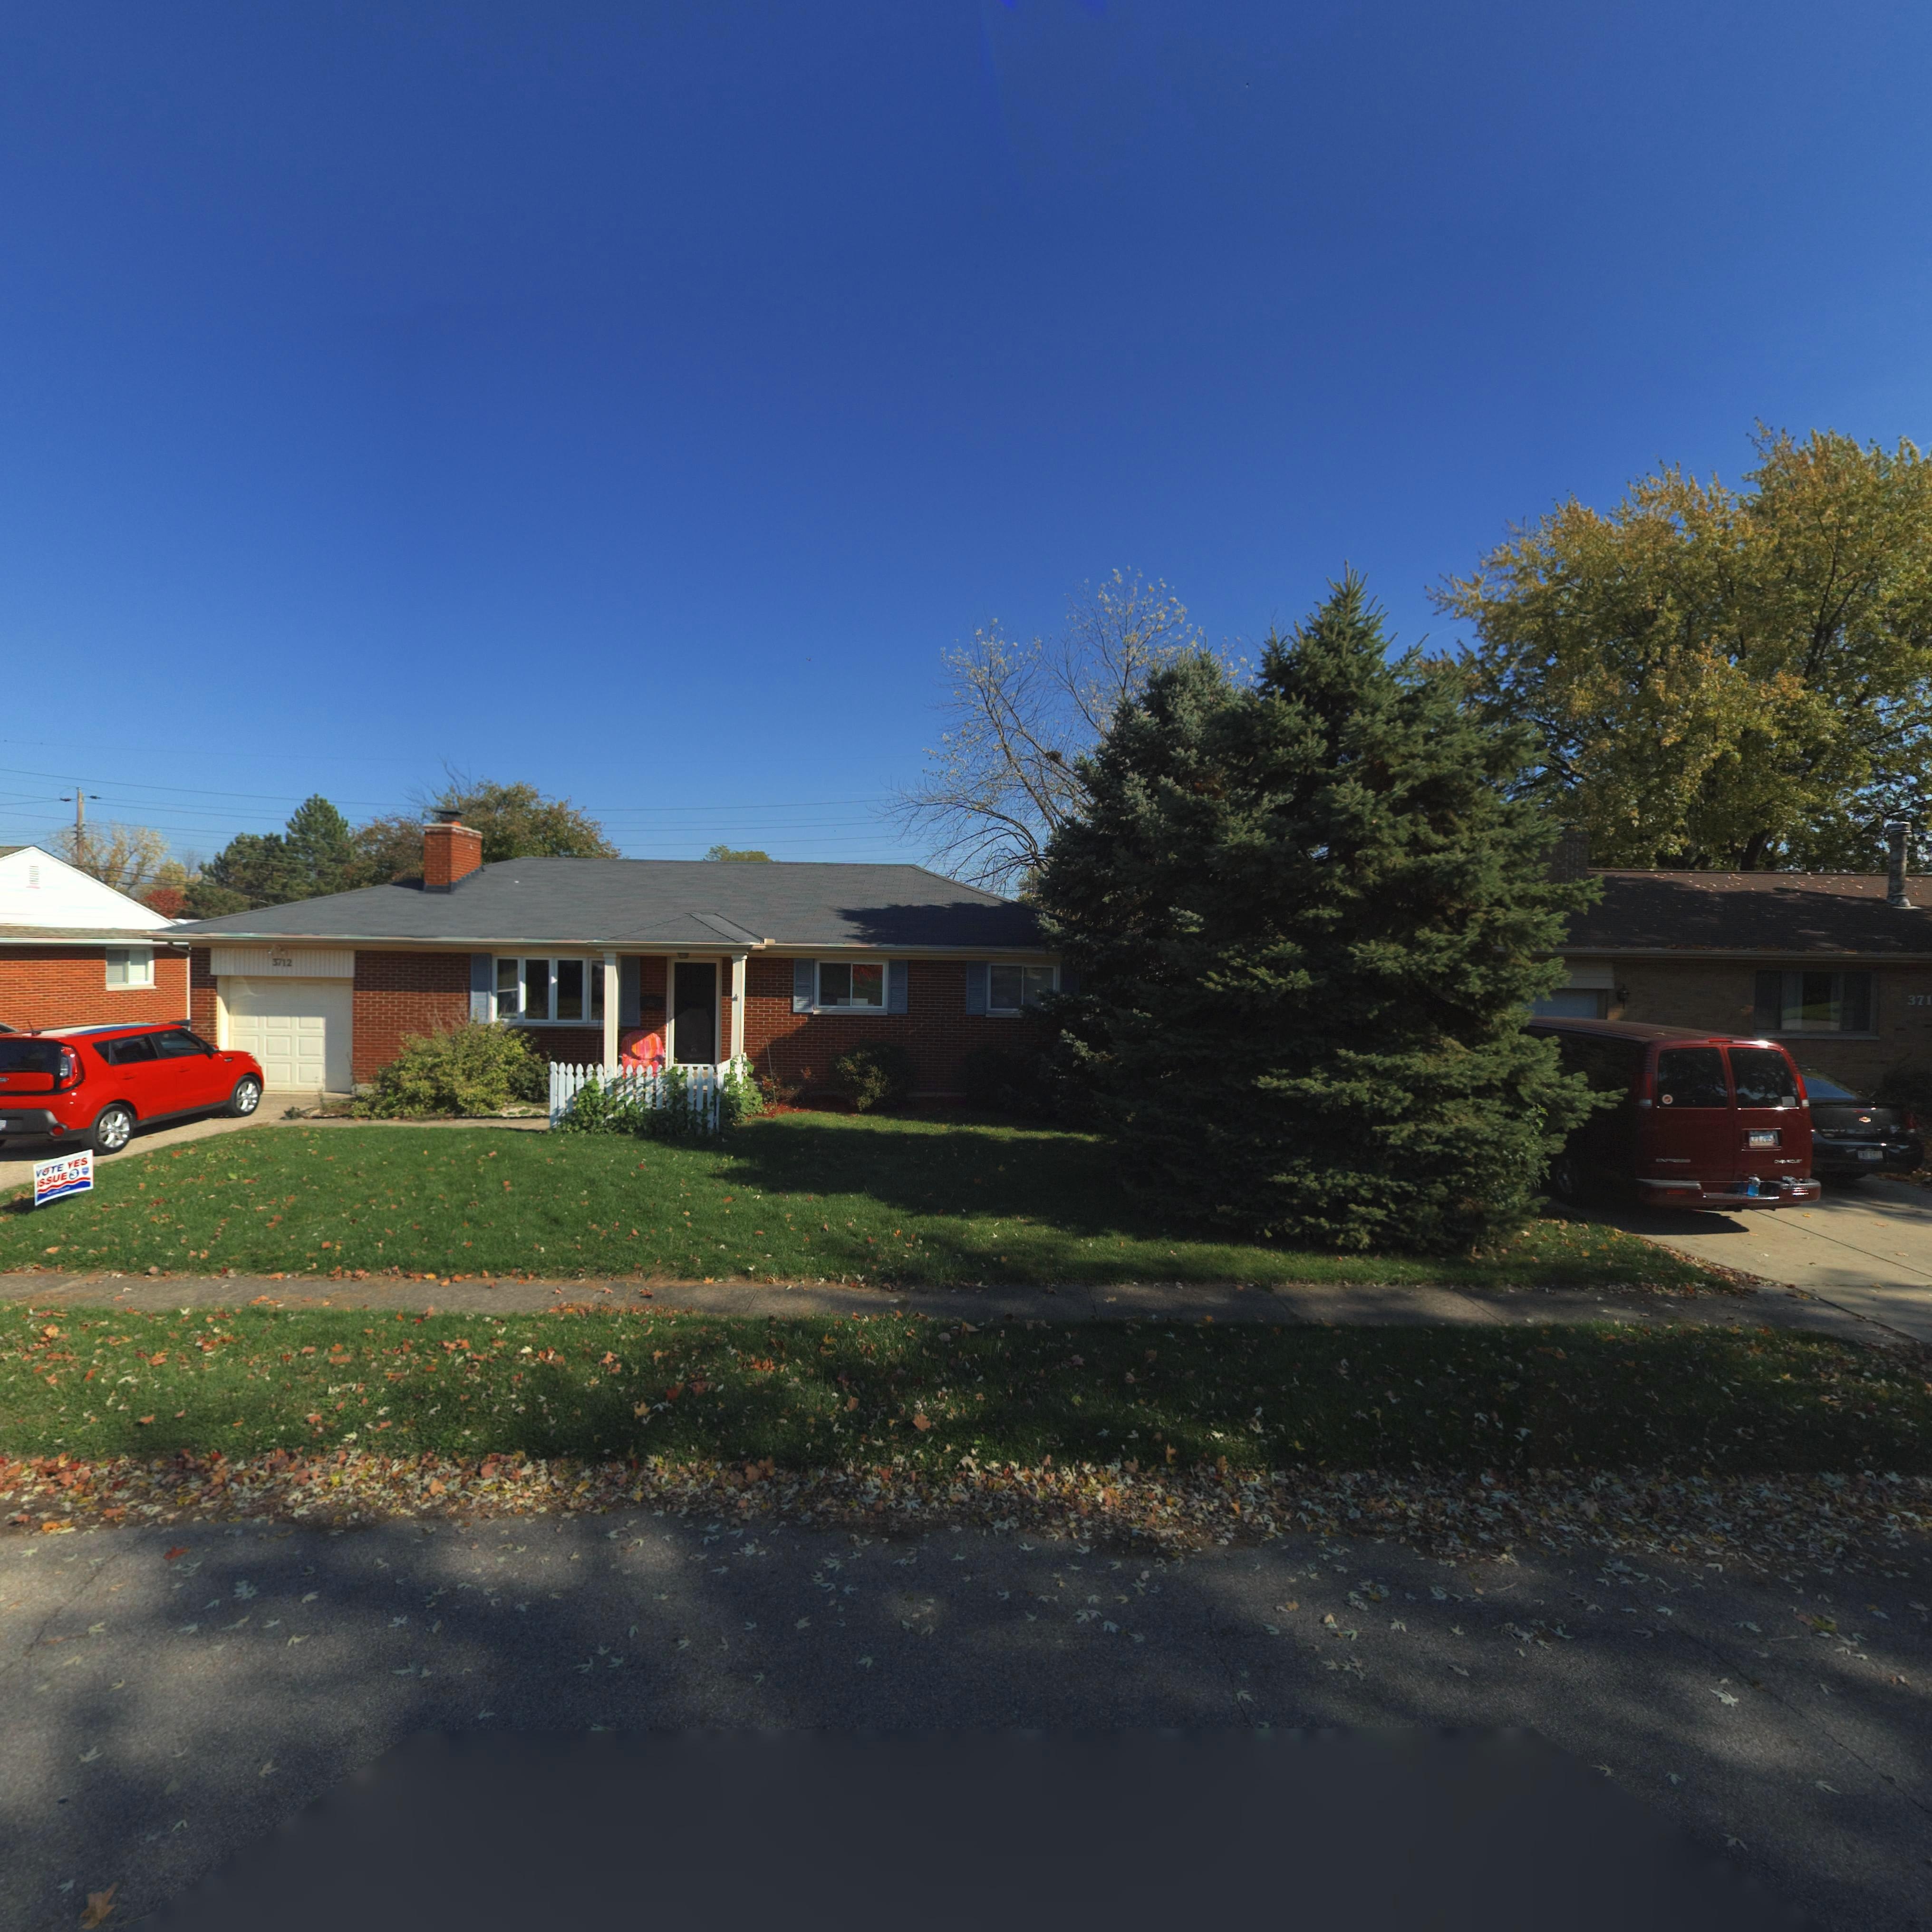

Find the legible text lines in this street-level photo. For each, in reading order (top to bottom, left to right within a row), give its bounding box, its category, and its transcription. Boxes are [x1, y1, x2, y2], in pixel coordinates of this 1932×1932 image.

[271, 957, 294, 968] StreetNumber: 3712
[1906, 994, 1932, 1007] StreetNumber: 371